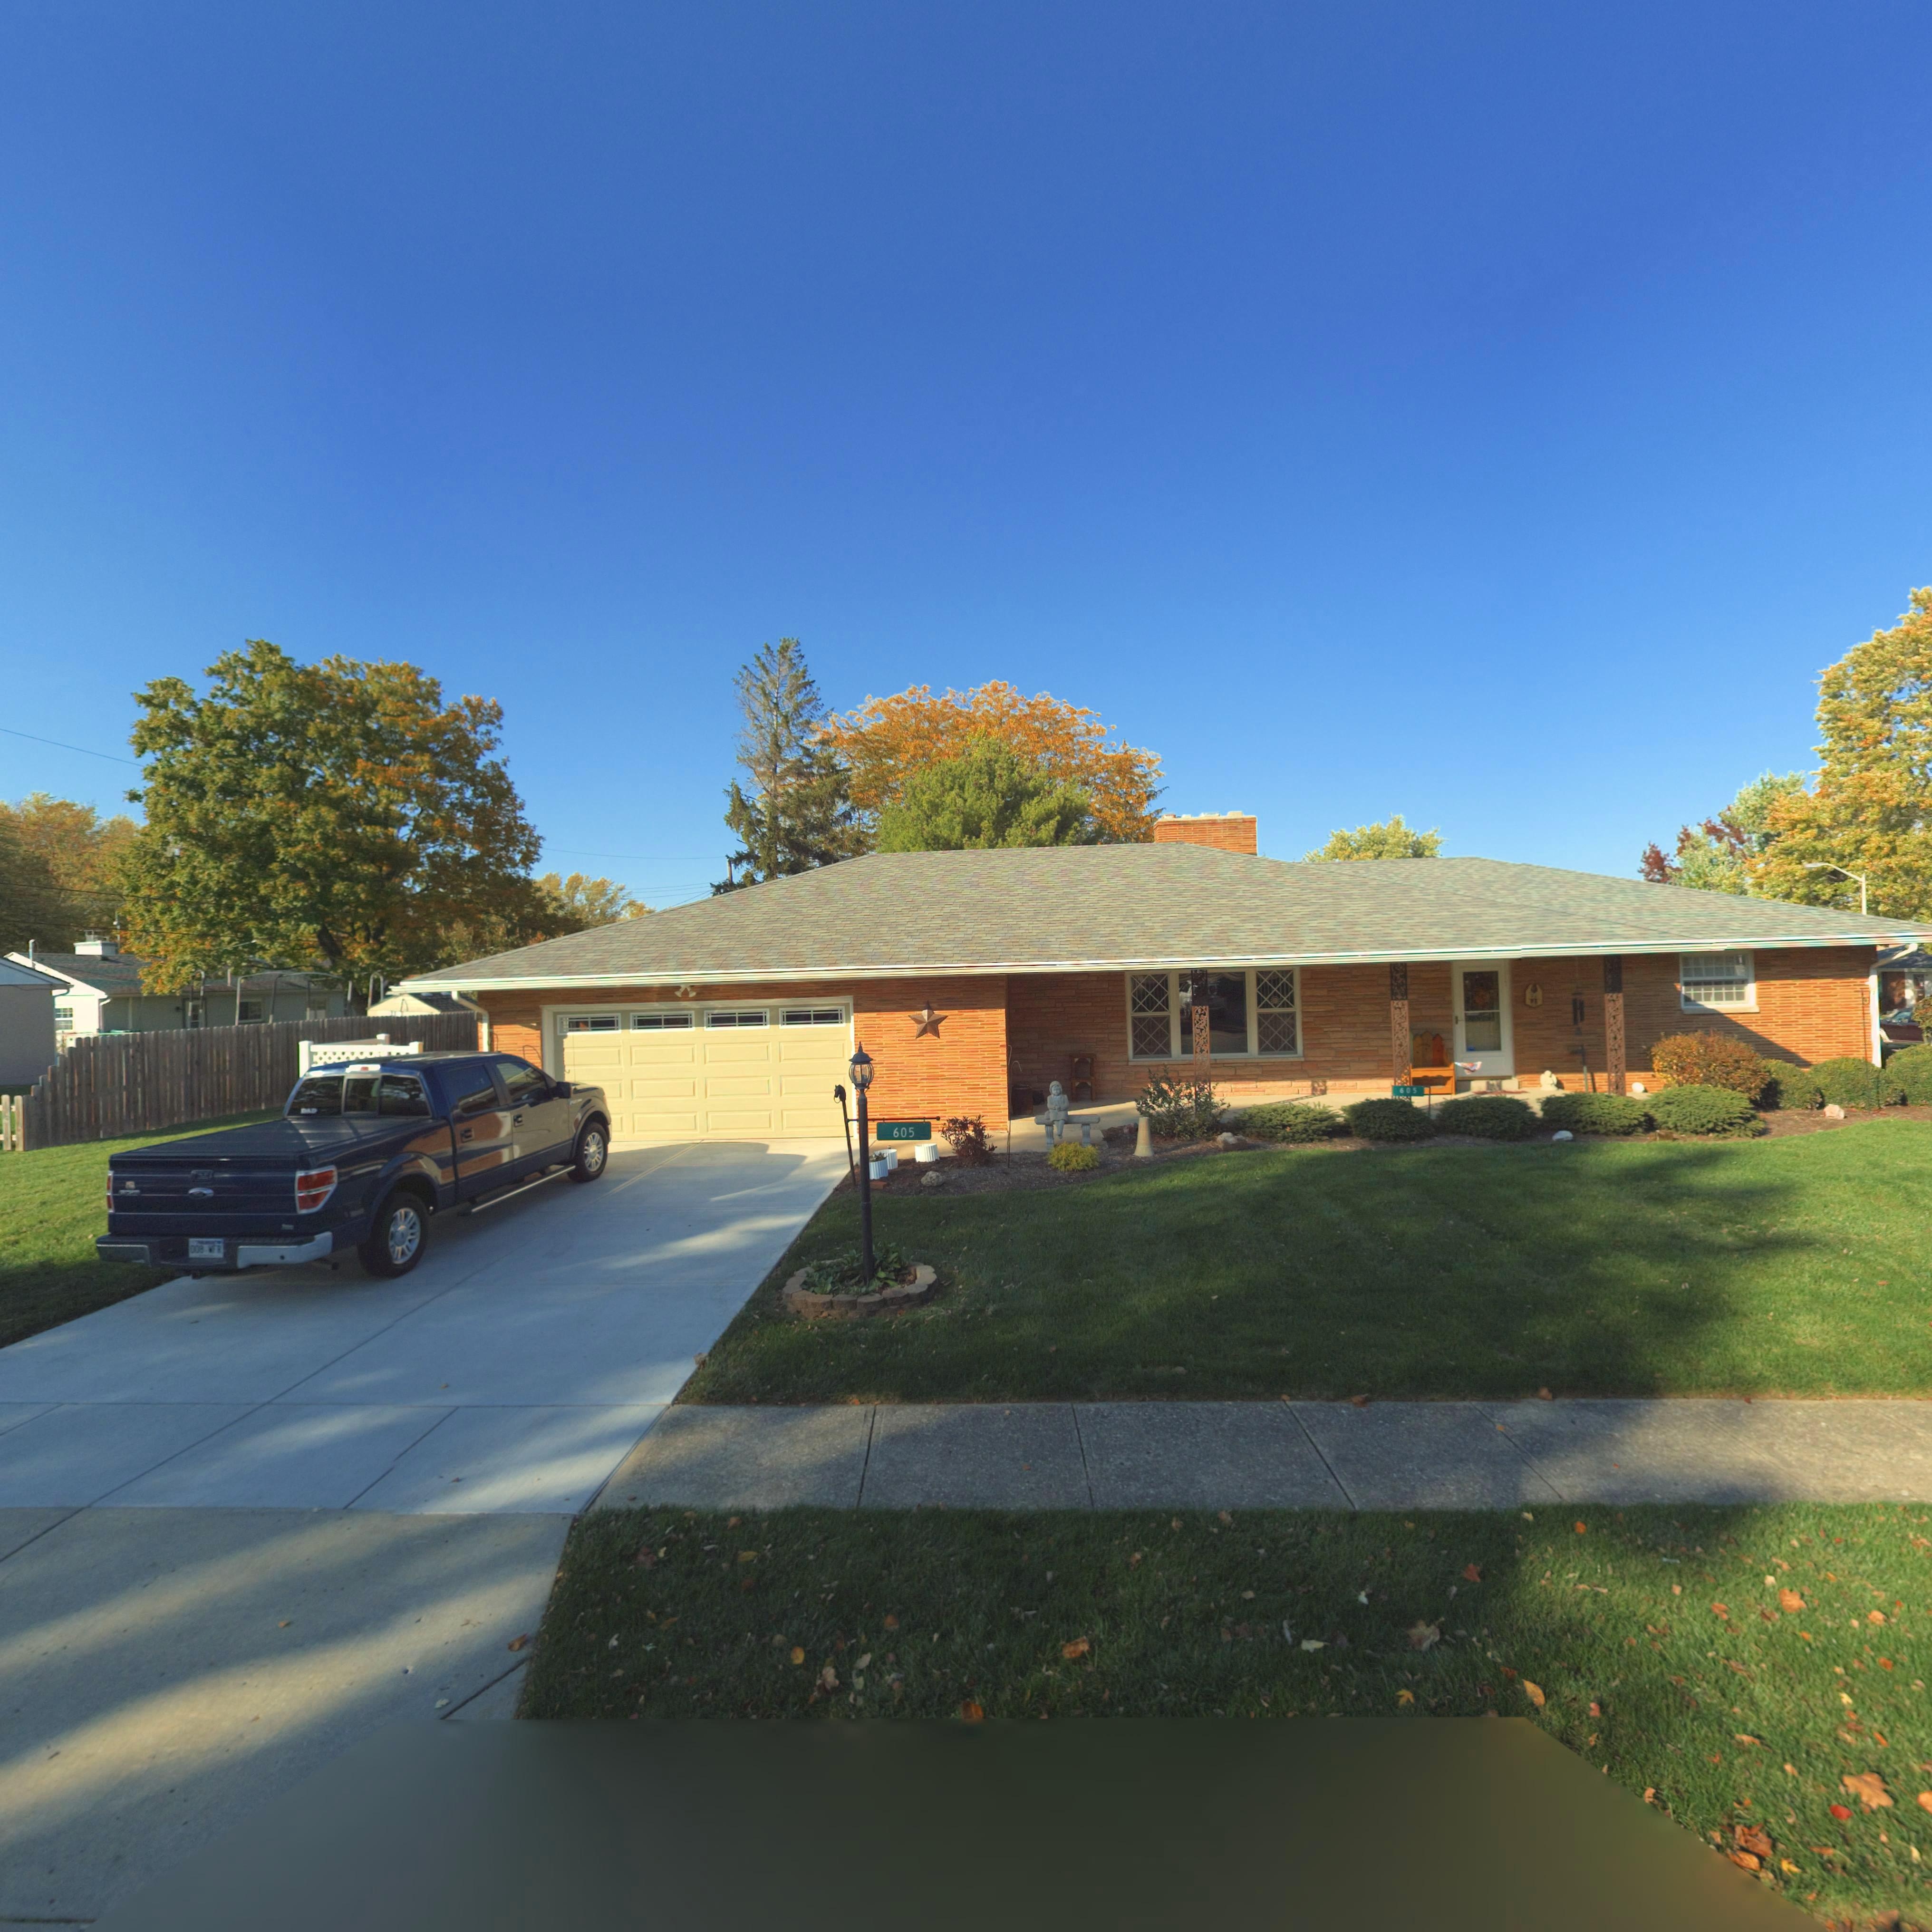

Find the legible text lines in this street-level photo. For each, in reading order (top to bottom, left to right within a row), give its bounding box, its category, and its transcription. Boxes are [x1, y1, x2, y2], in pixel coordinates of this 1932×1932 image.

[1399, 1086, 1418, 1095] StreetNumber: 605
[892, 1127, 915, 1138] StreetNumber: 605